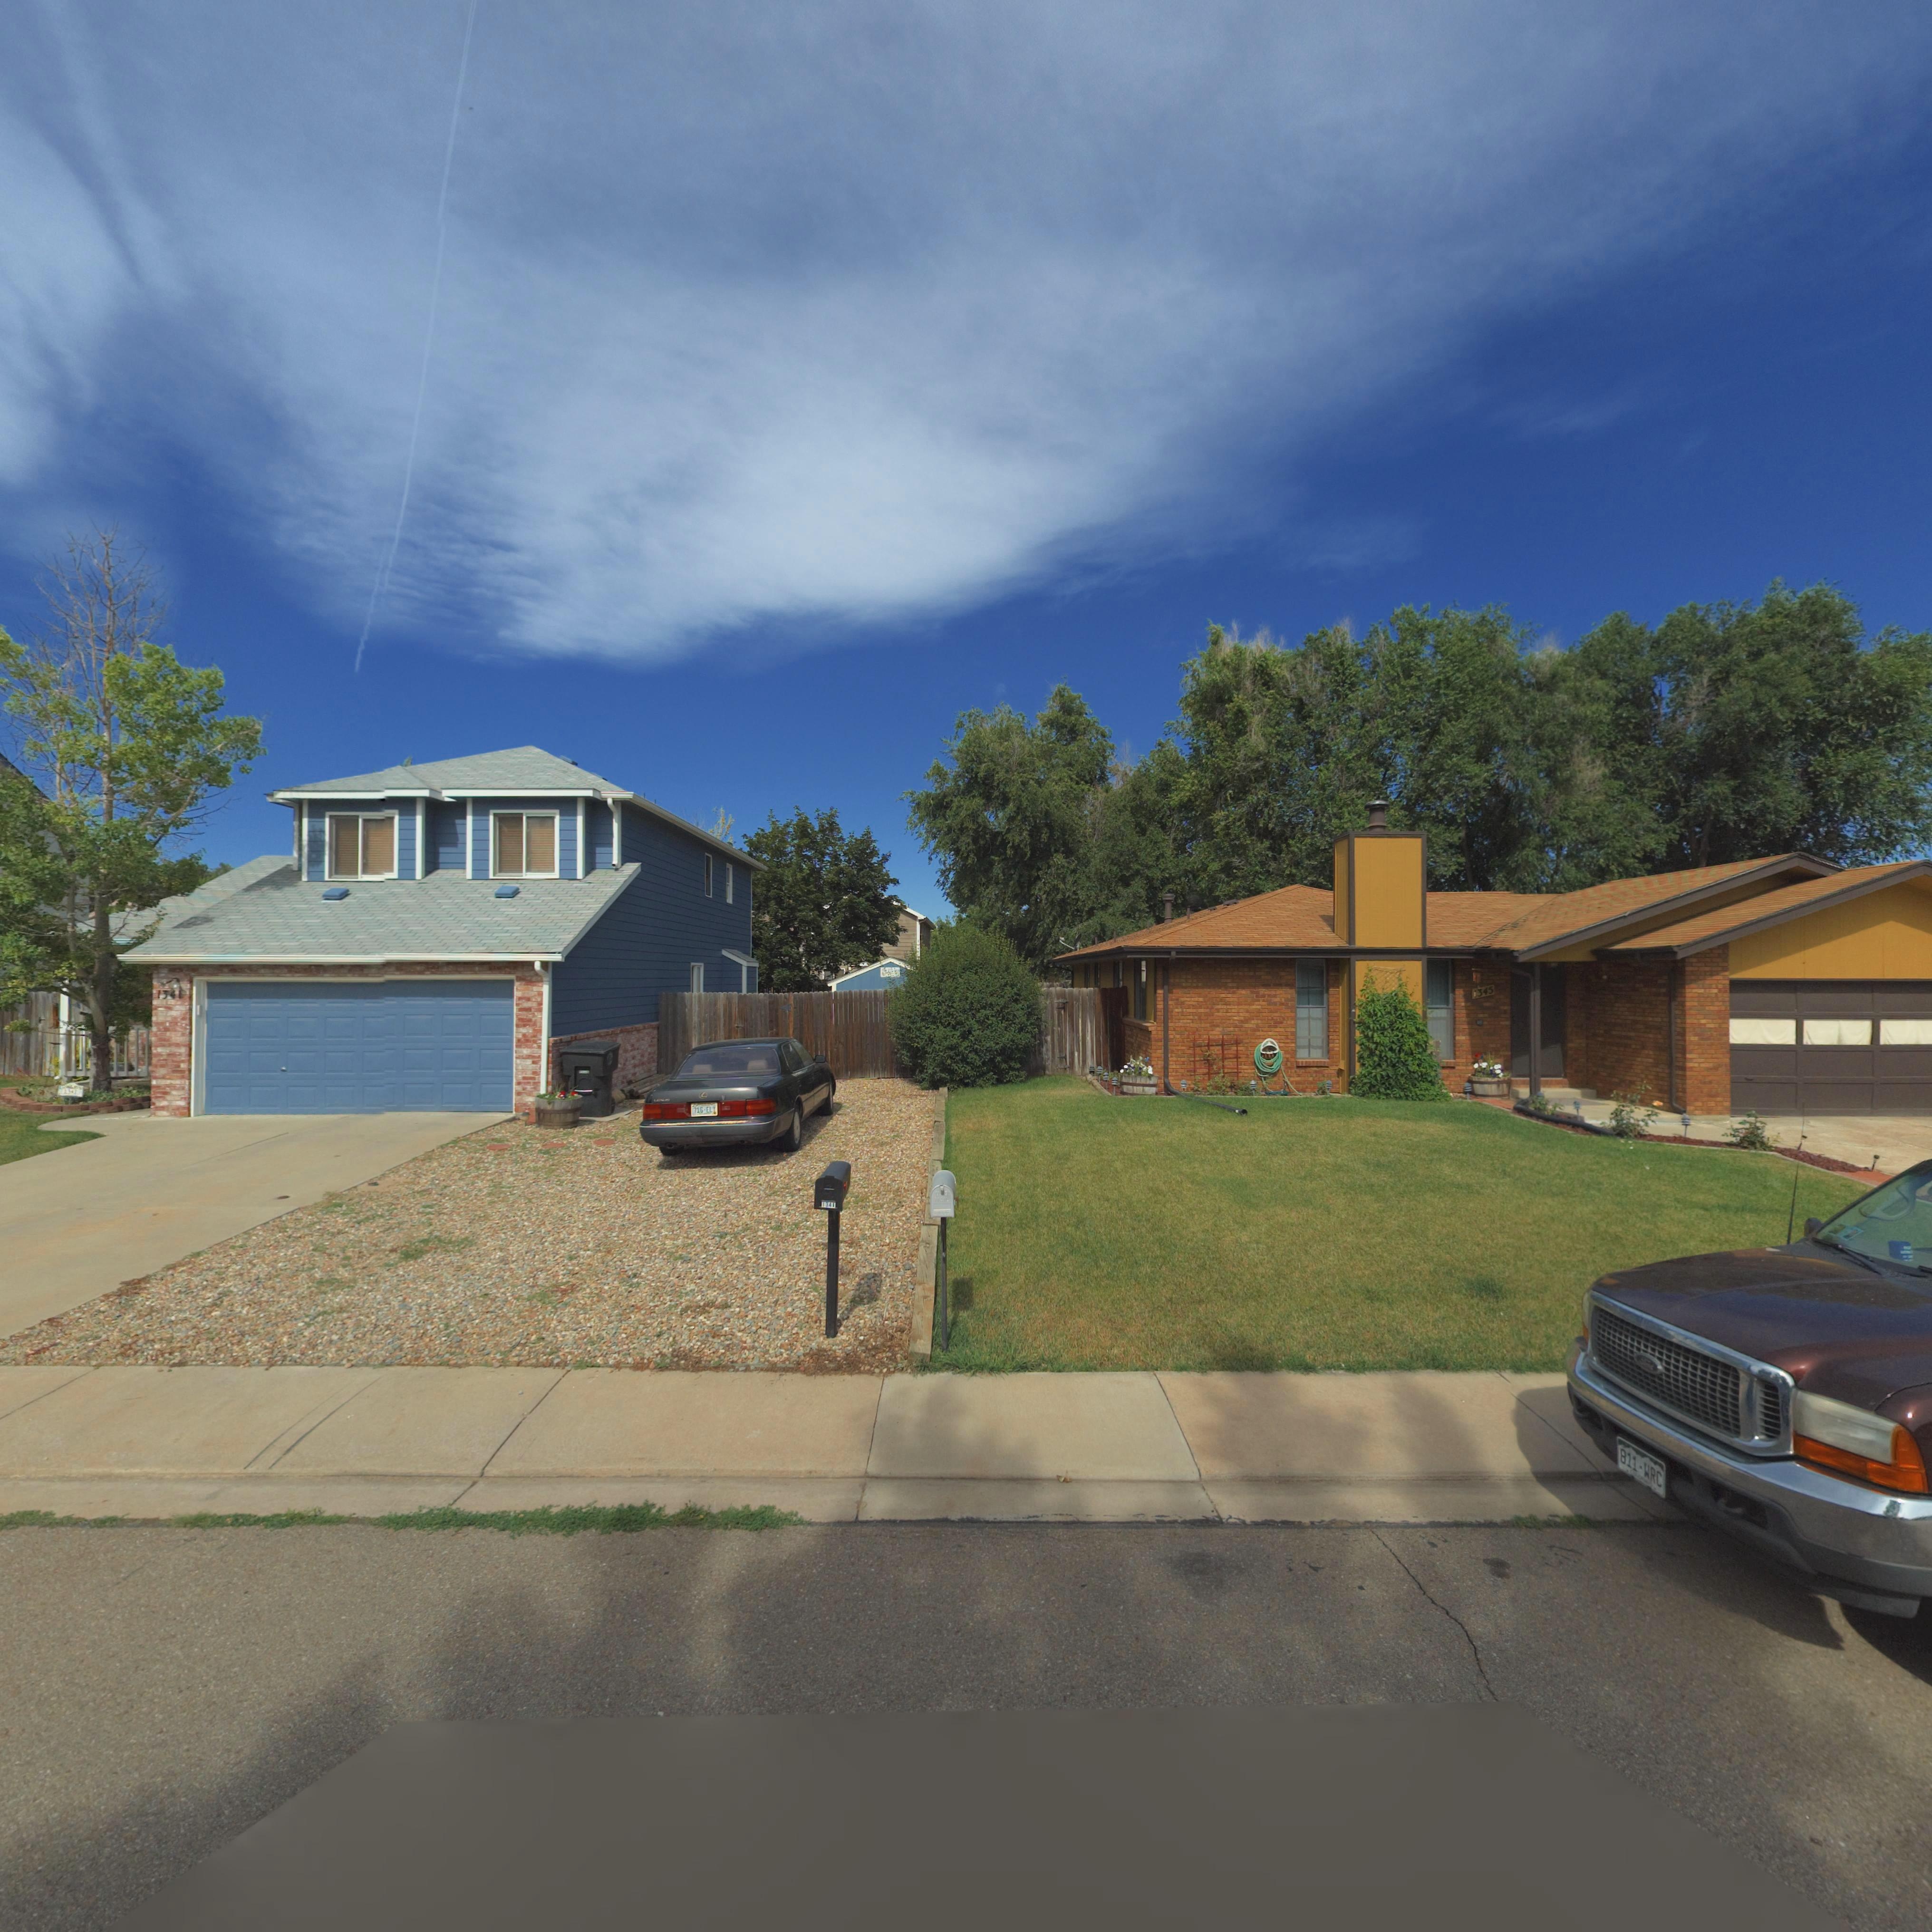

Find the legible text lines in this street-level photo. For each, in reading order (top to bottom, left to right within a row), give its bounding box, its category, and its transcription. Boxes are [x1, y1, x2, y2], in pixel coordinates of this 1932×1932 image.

[156, 989, 181, 1000] StreetNumber: 1341
[1473, 985, 1494, 998] StreetNumber: 1345
[63, 1088, 77, 1095] StreetNumber: 1**1
[822, 1201, 834, 1207] StreetNumber: 1341